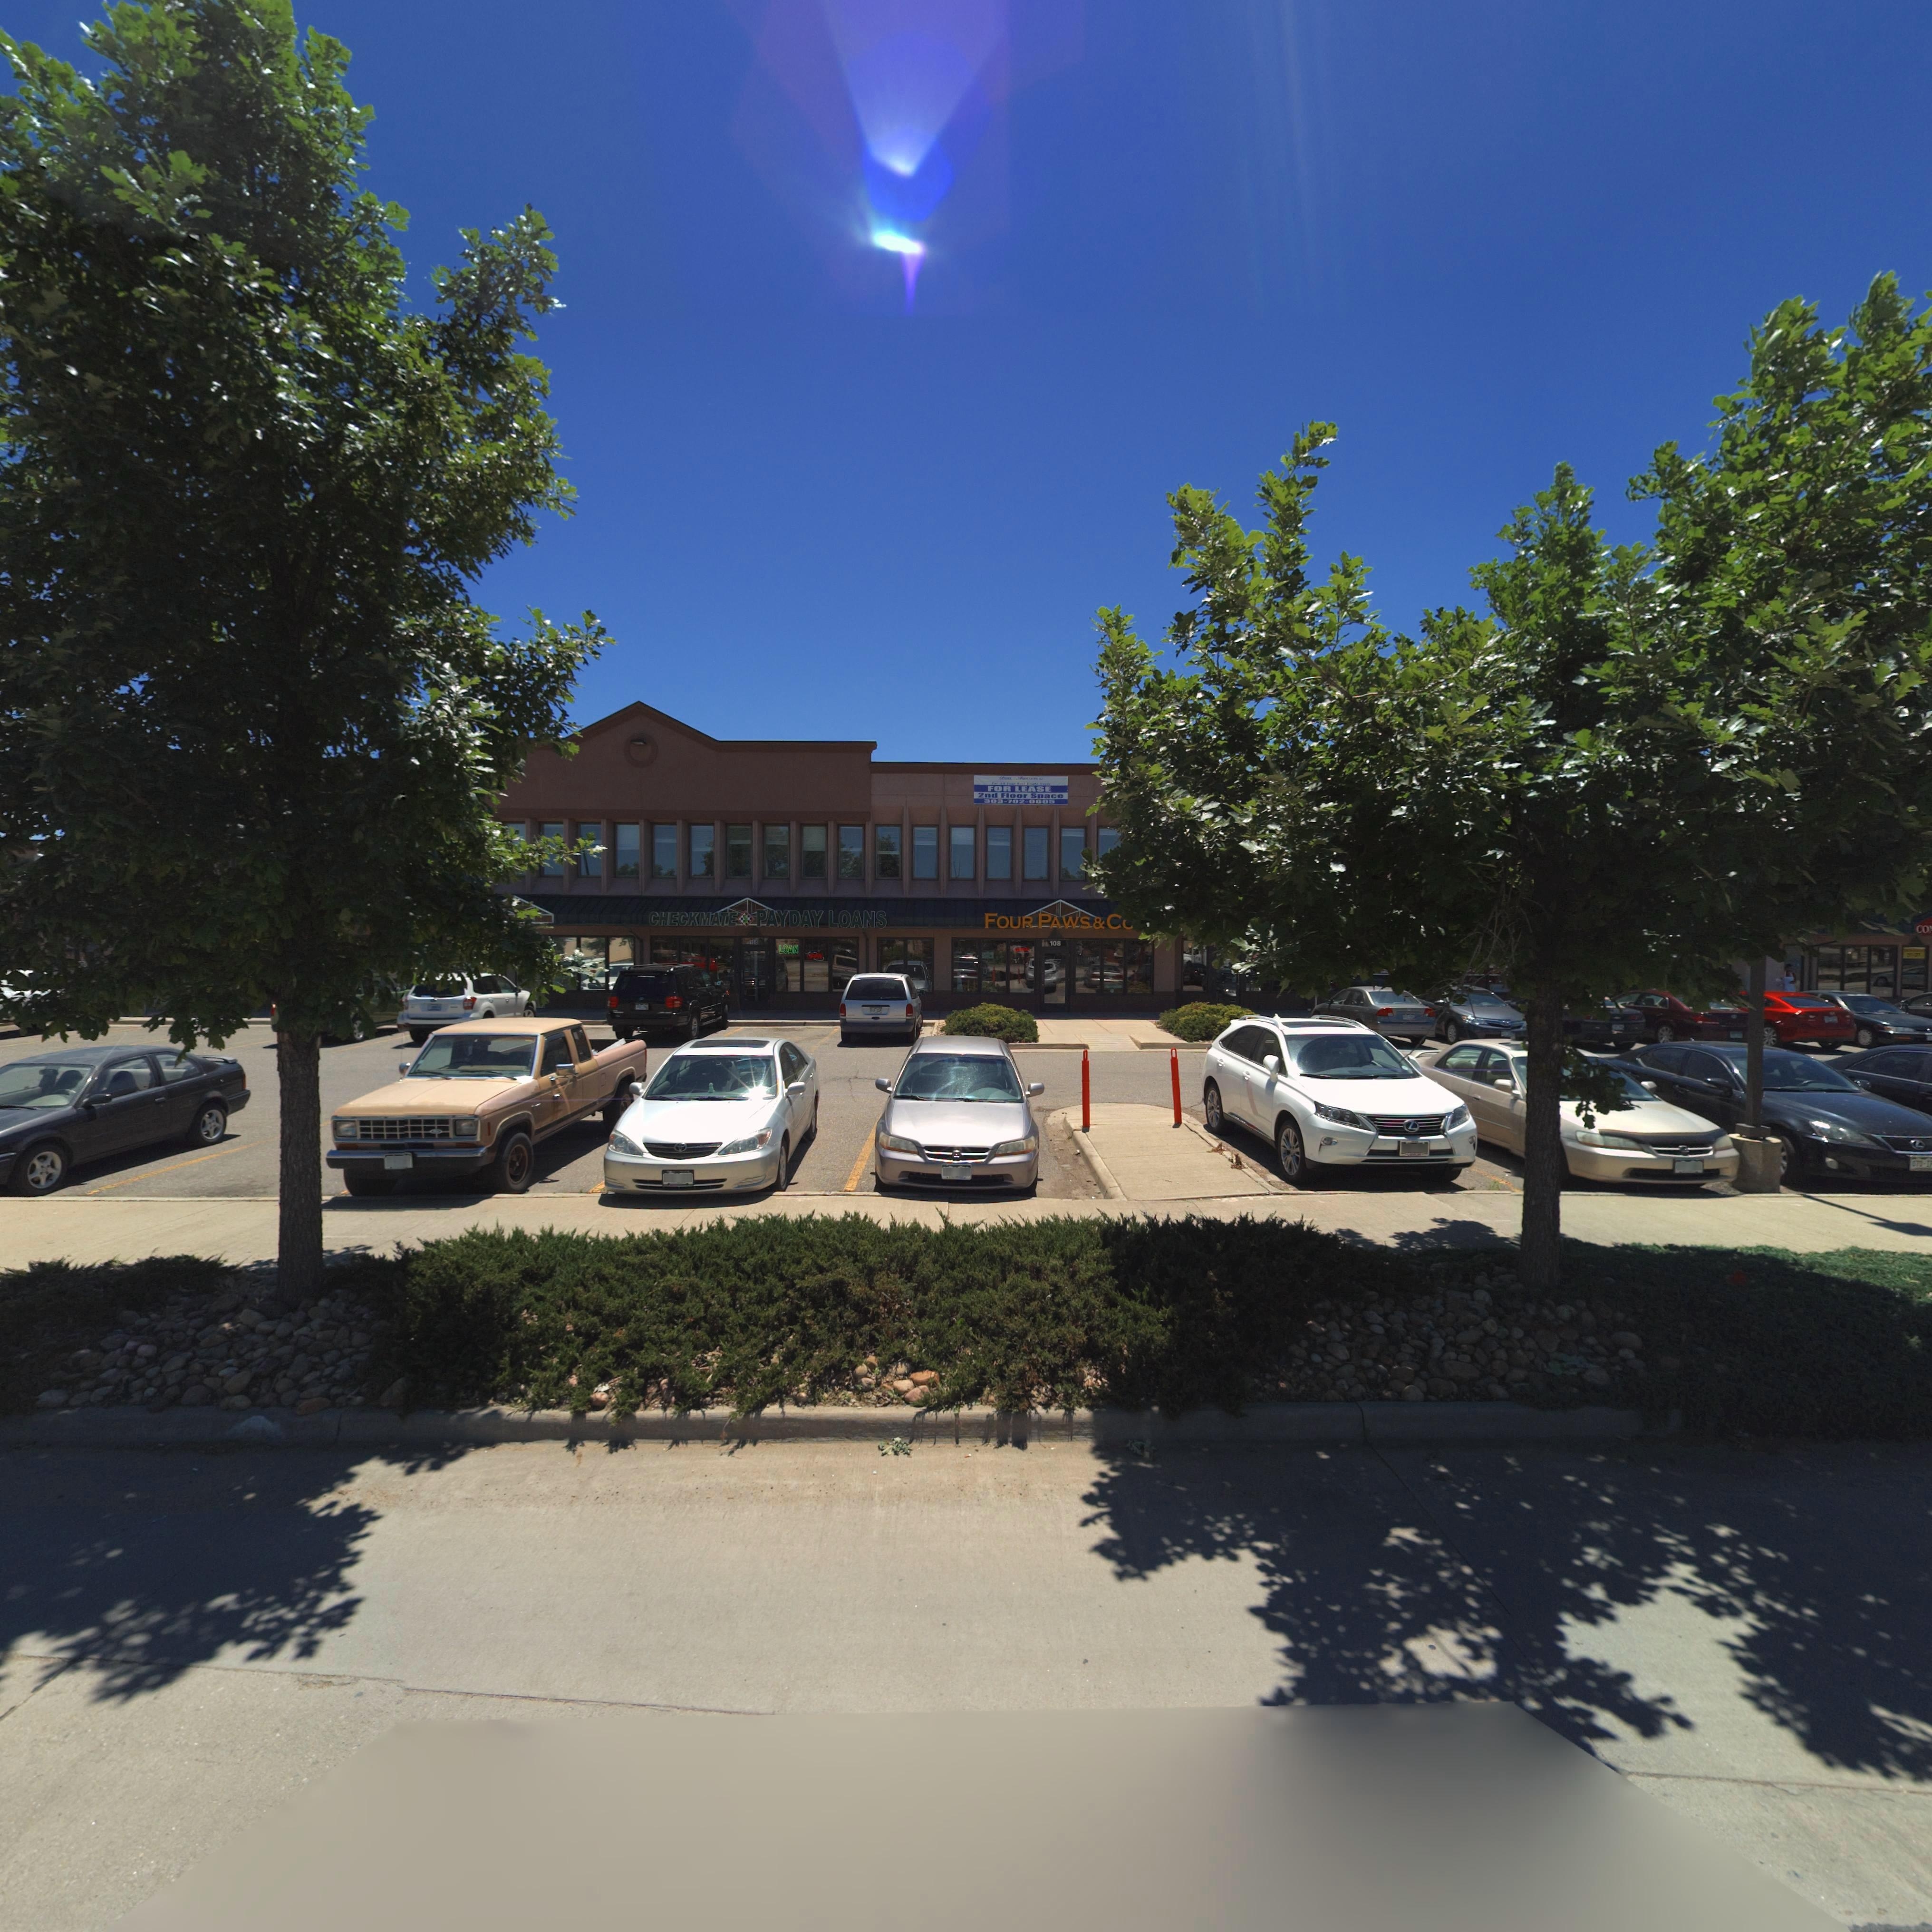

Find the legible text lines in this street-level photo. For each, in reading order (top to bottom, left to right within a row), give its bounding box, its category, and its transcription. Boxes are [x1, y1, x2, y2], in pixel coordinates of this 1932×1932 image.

[647, 909, 888, 930] BusinessName: CHECKMATE*PAYDAY LOANS
[984, 912, 1133, 930] BusinessName: FOUR PAWS&C*